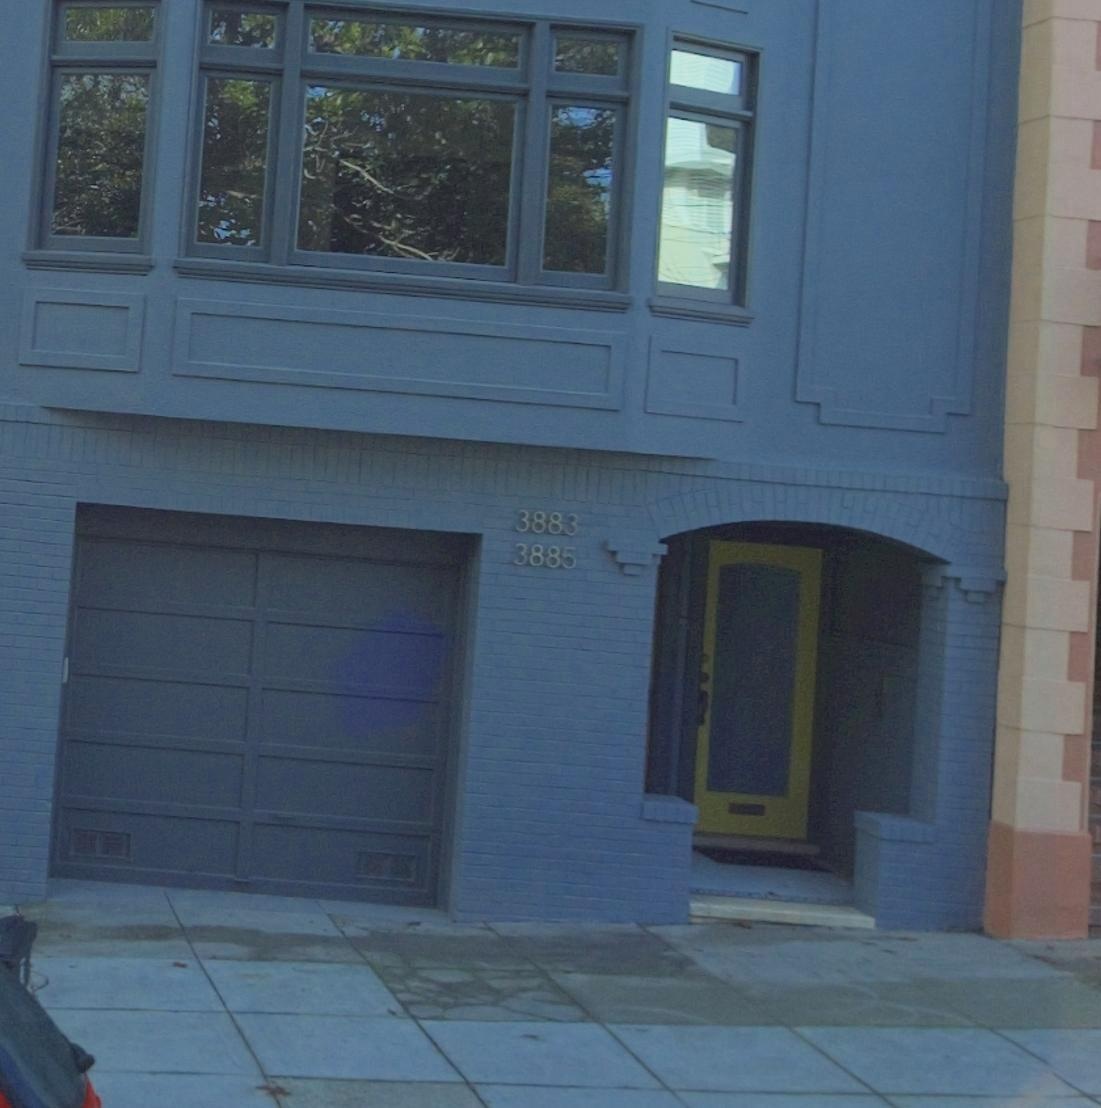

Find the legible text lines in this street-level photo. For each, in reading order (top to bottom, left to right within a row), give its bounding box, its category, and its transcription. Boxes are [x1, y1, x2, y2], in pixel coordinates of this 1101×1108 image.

[514, 507, 580, 538] StreetNumber: 3883
[513, 541, 578, 571] StreetNumber: 3885